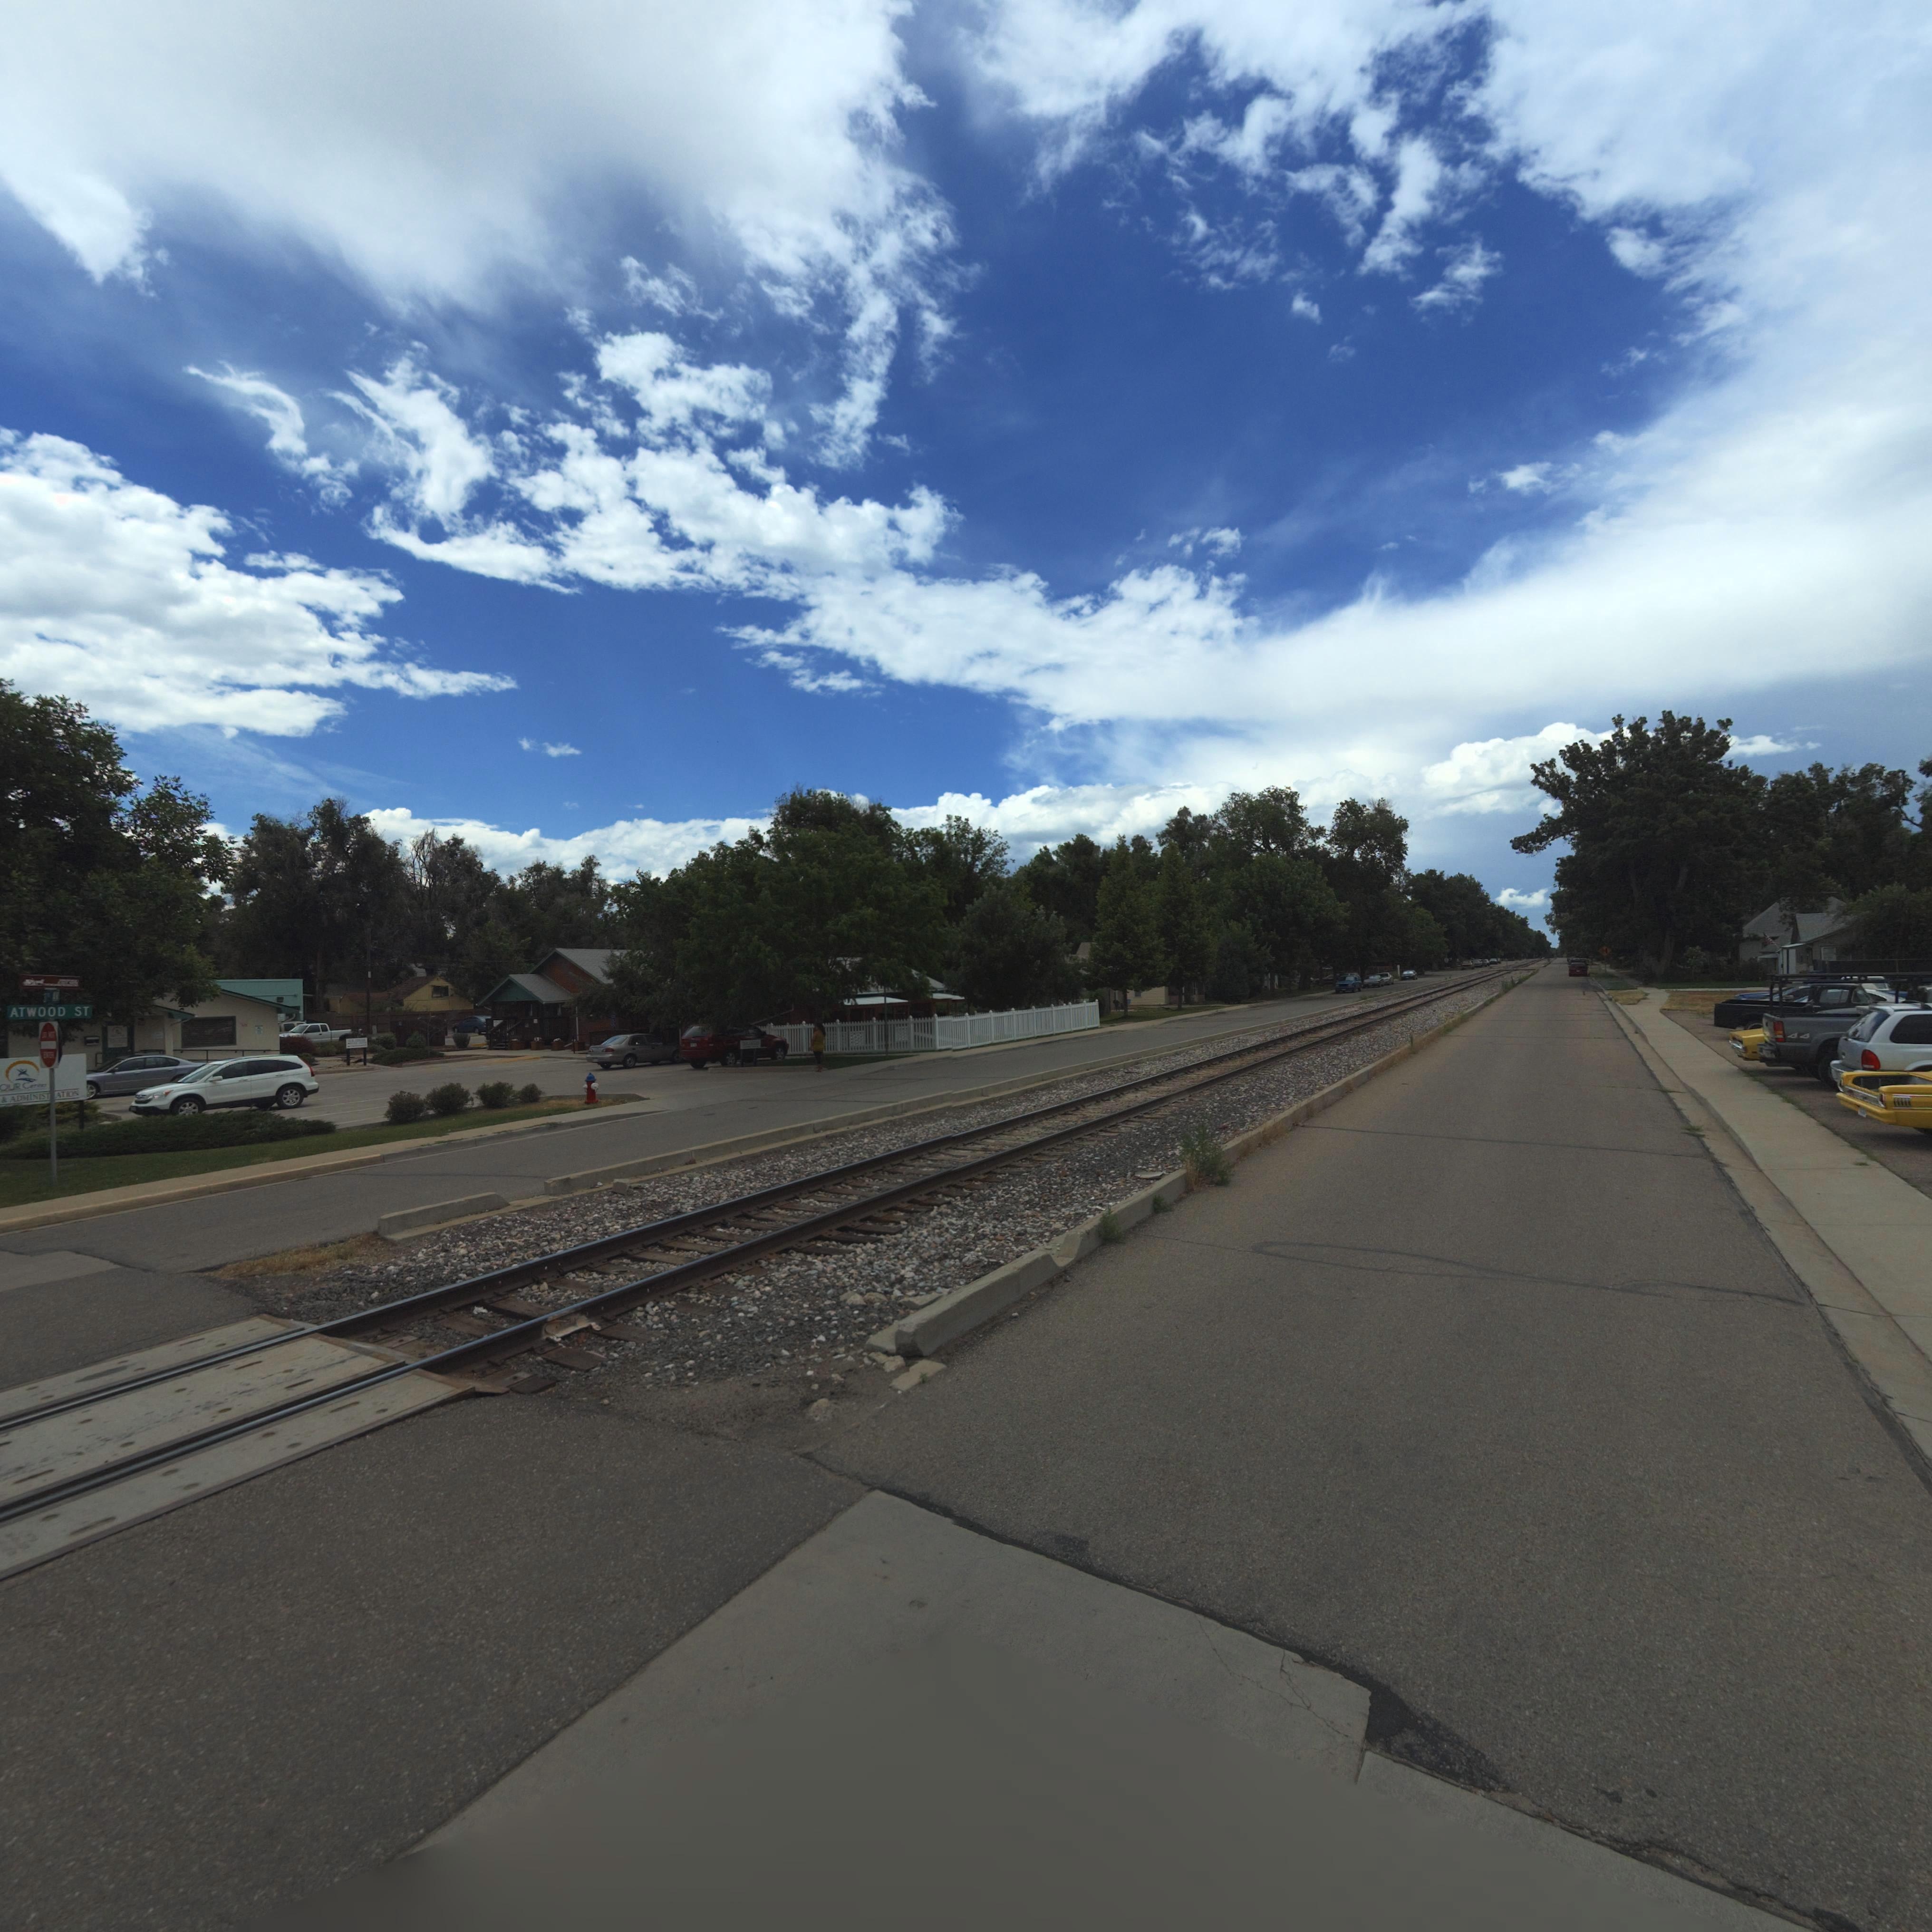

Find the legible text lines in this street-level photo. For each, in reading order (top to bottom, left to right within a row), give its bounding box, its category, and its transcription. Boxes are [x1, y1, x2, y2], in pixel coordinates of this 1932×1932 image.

[10, 1005, 89, 1017] StreetName: ATWOOD ST
[42, 1051, 54, 1059] None: ENTER
[8, 1081, 48, 1091] BusinessName: UR Center